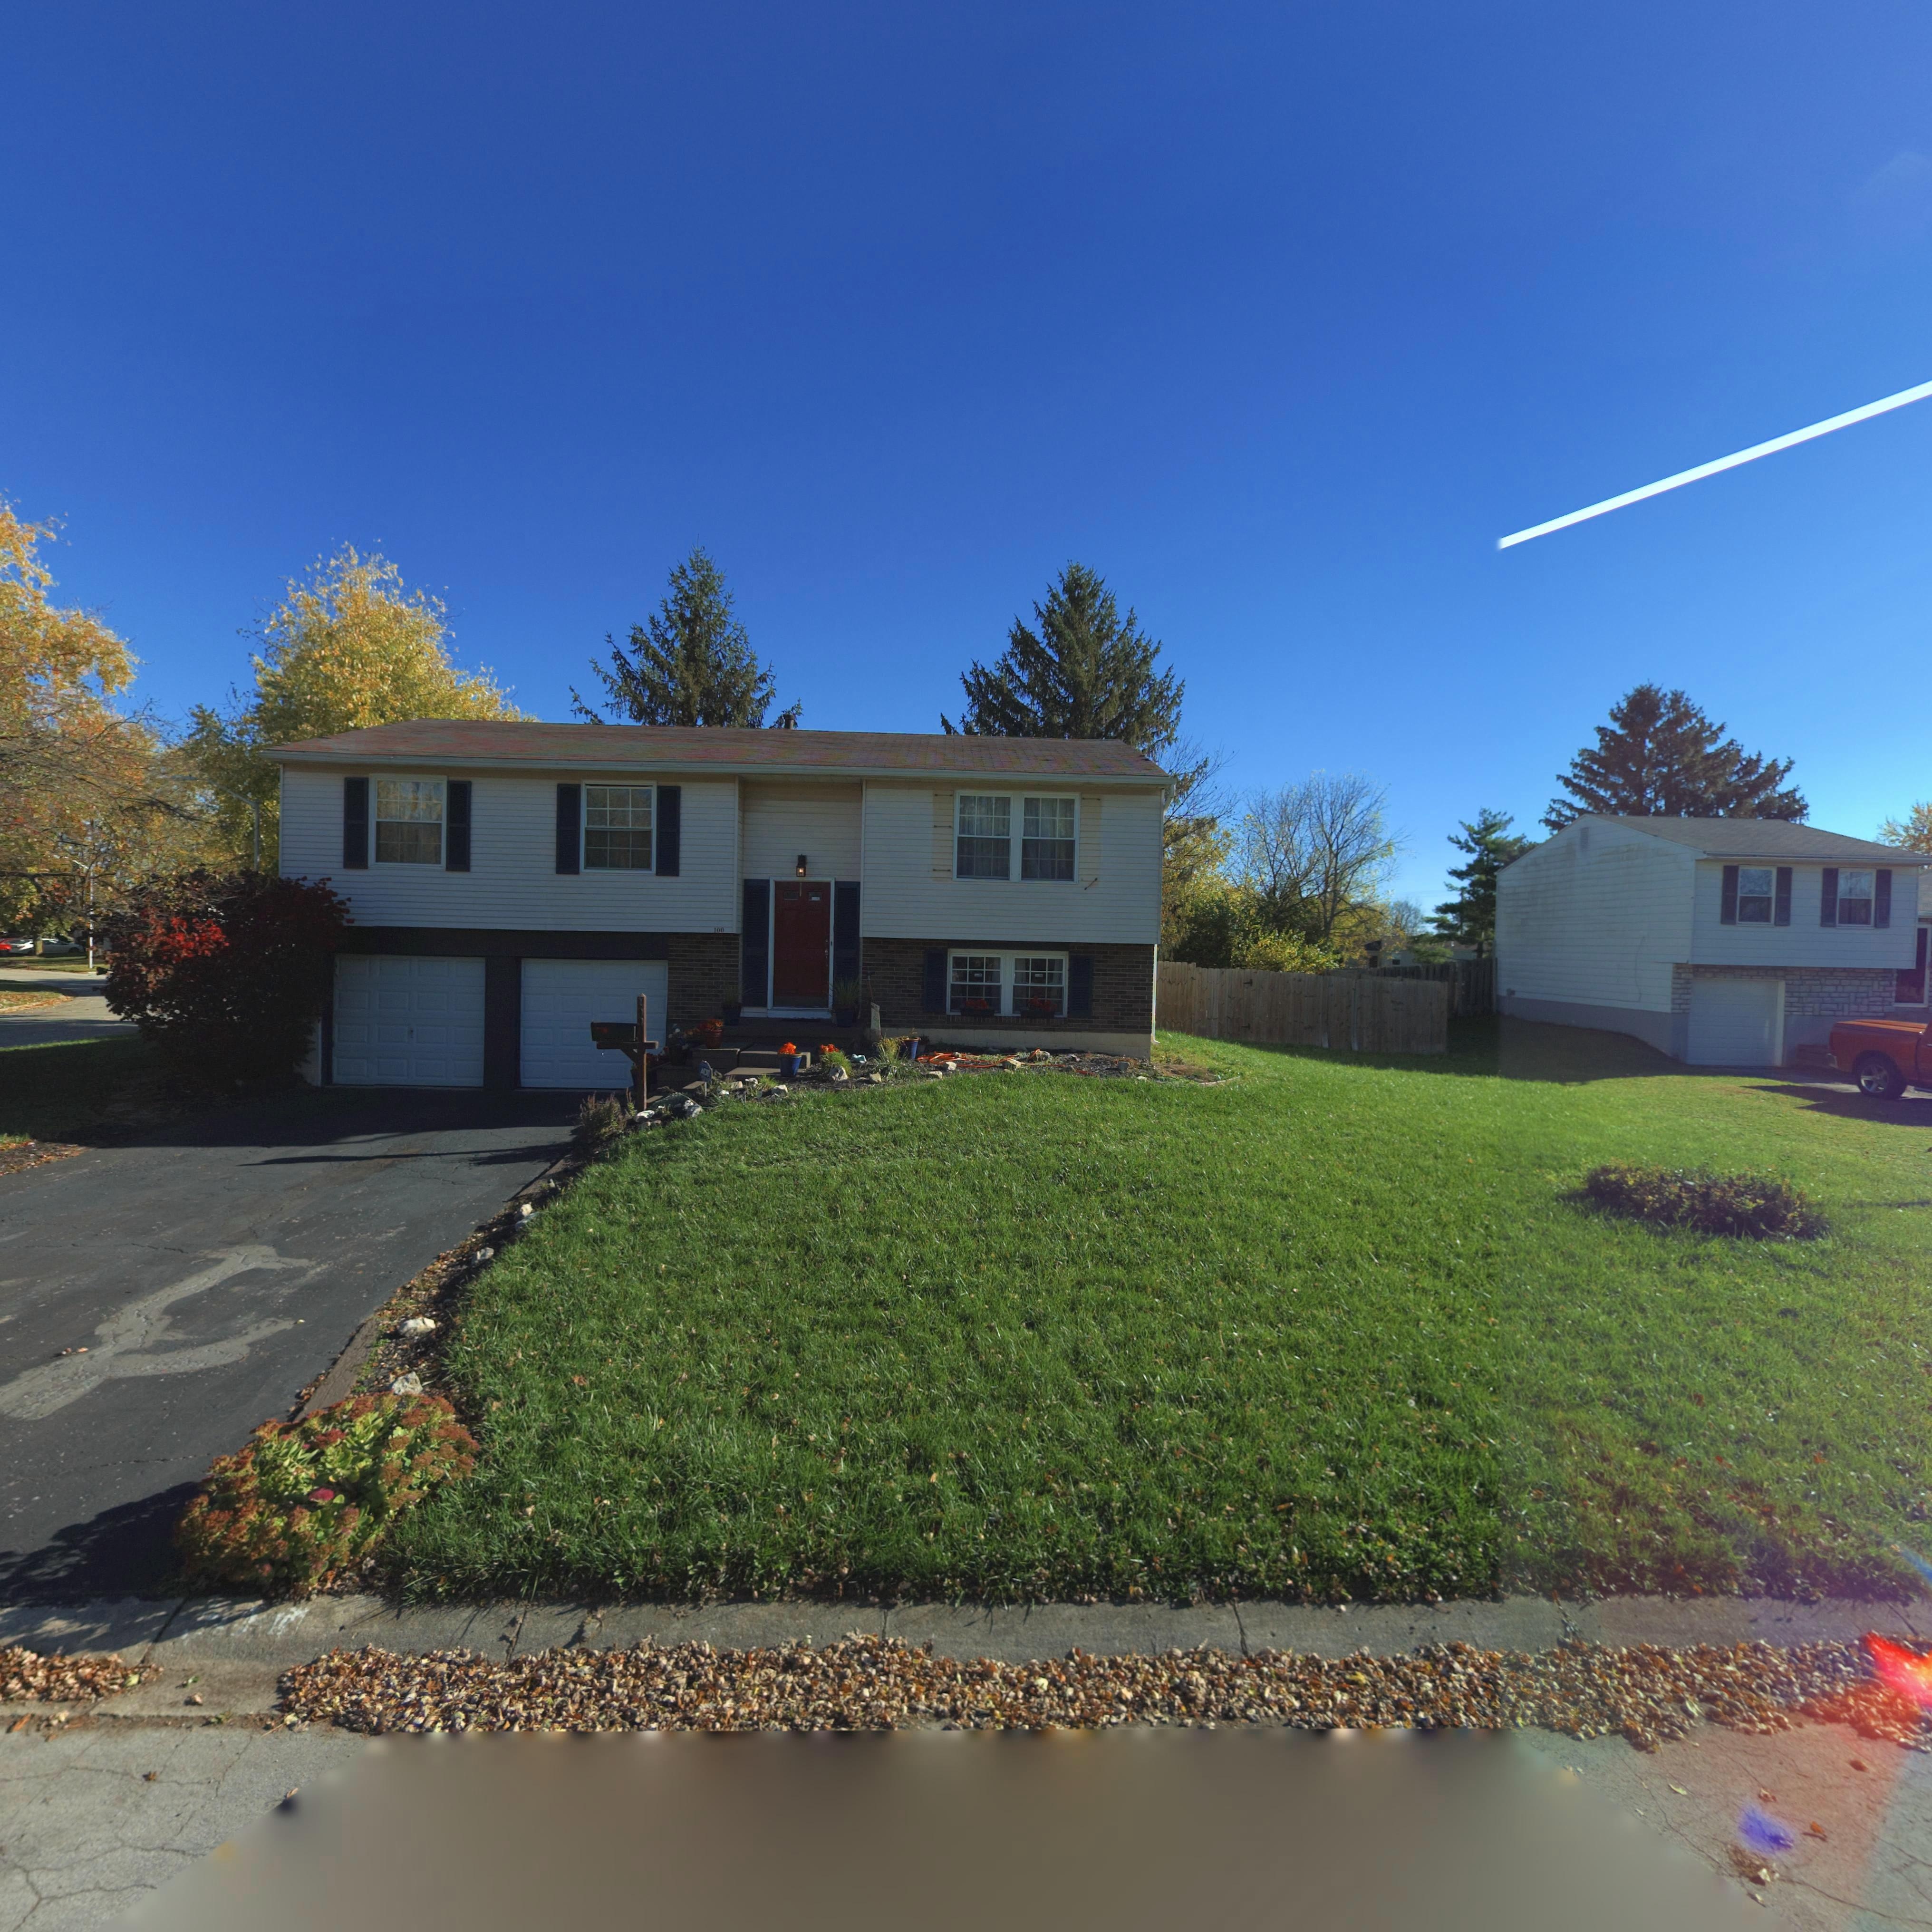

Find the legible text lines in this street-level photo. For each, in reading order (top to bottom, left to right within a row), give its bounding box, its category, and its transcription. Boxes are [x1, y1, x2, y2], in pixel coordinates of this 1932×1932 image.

[714, 927, 724, 933] StreetNumber: 100
[637, 997, 644, 1025] StreetNumber: 100